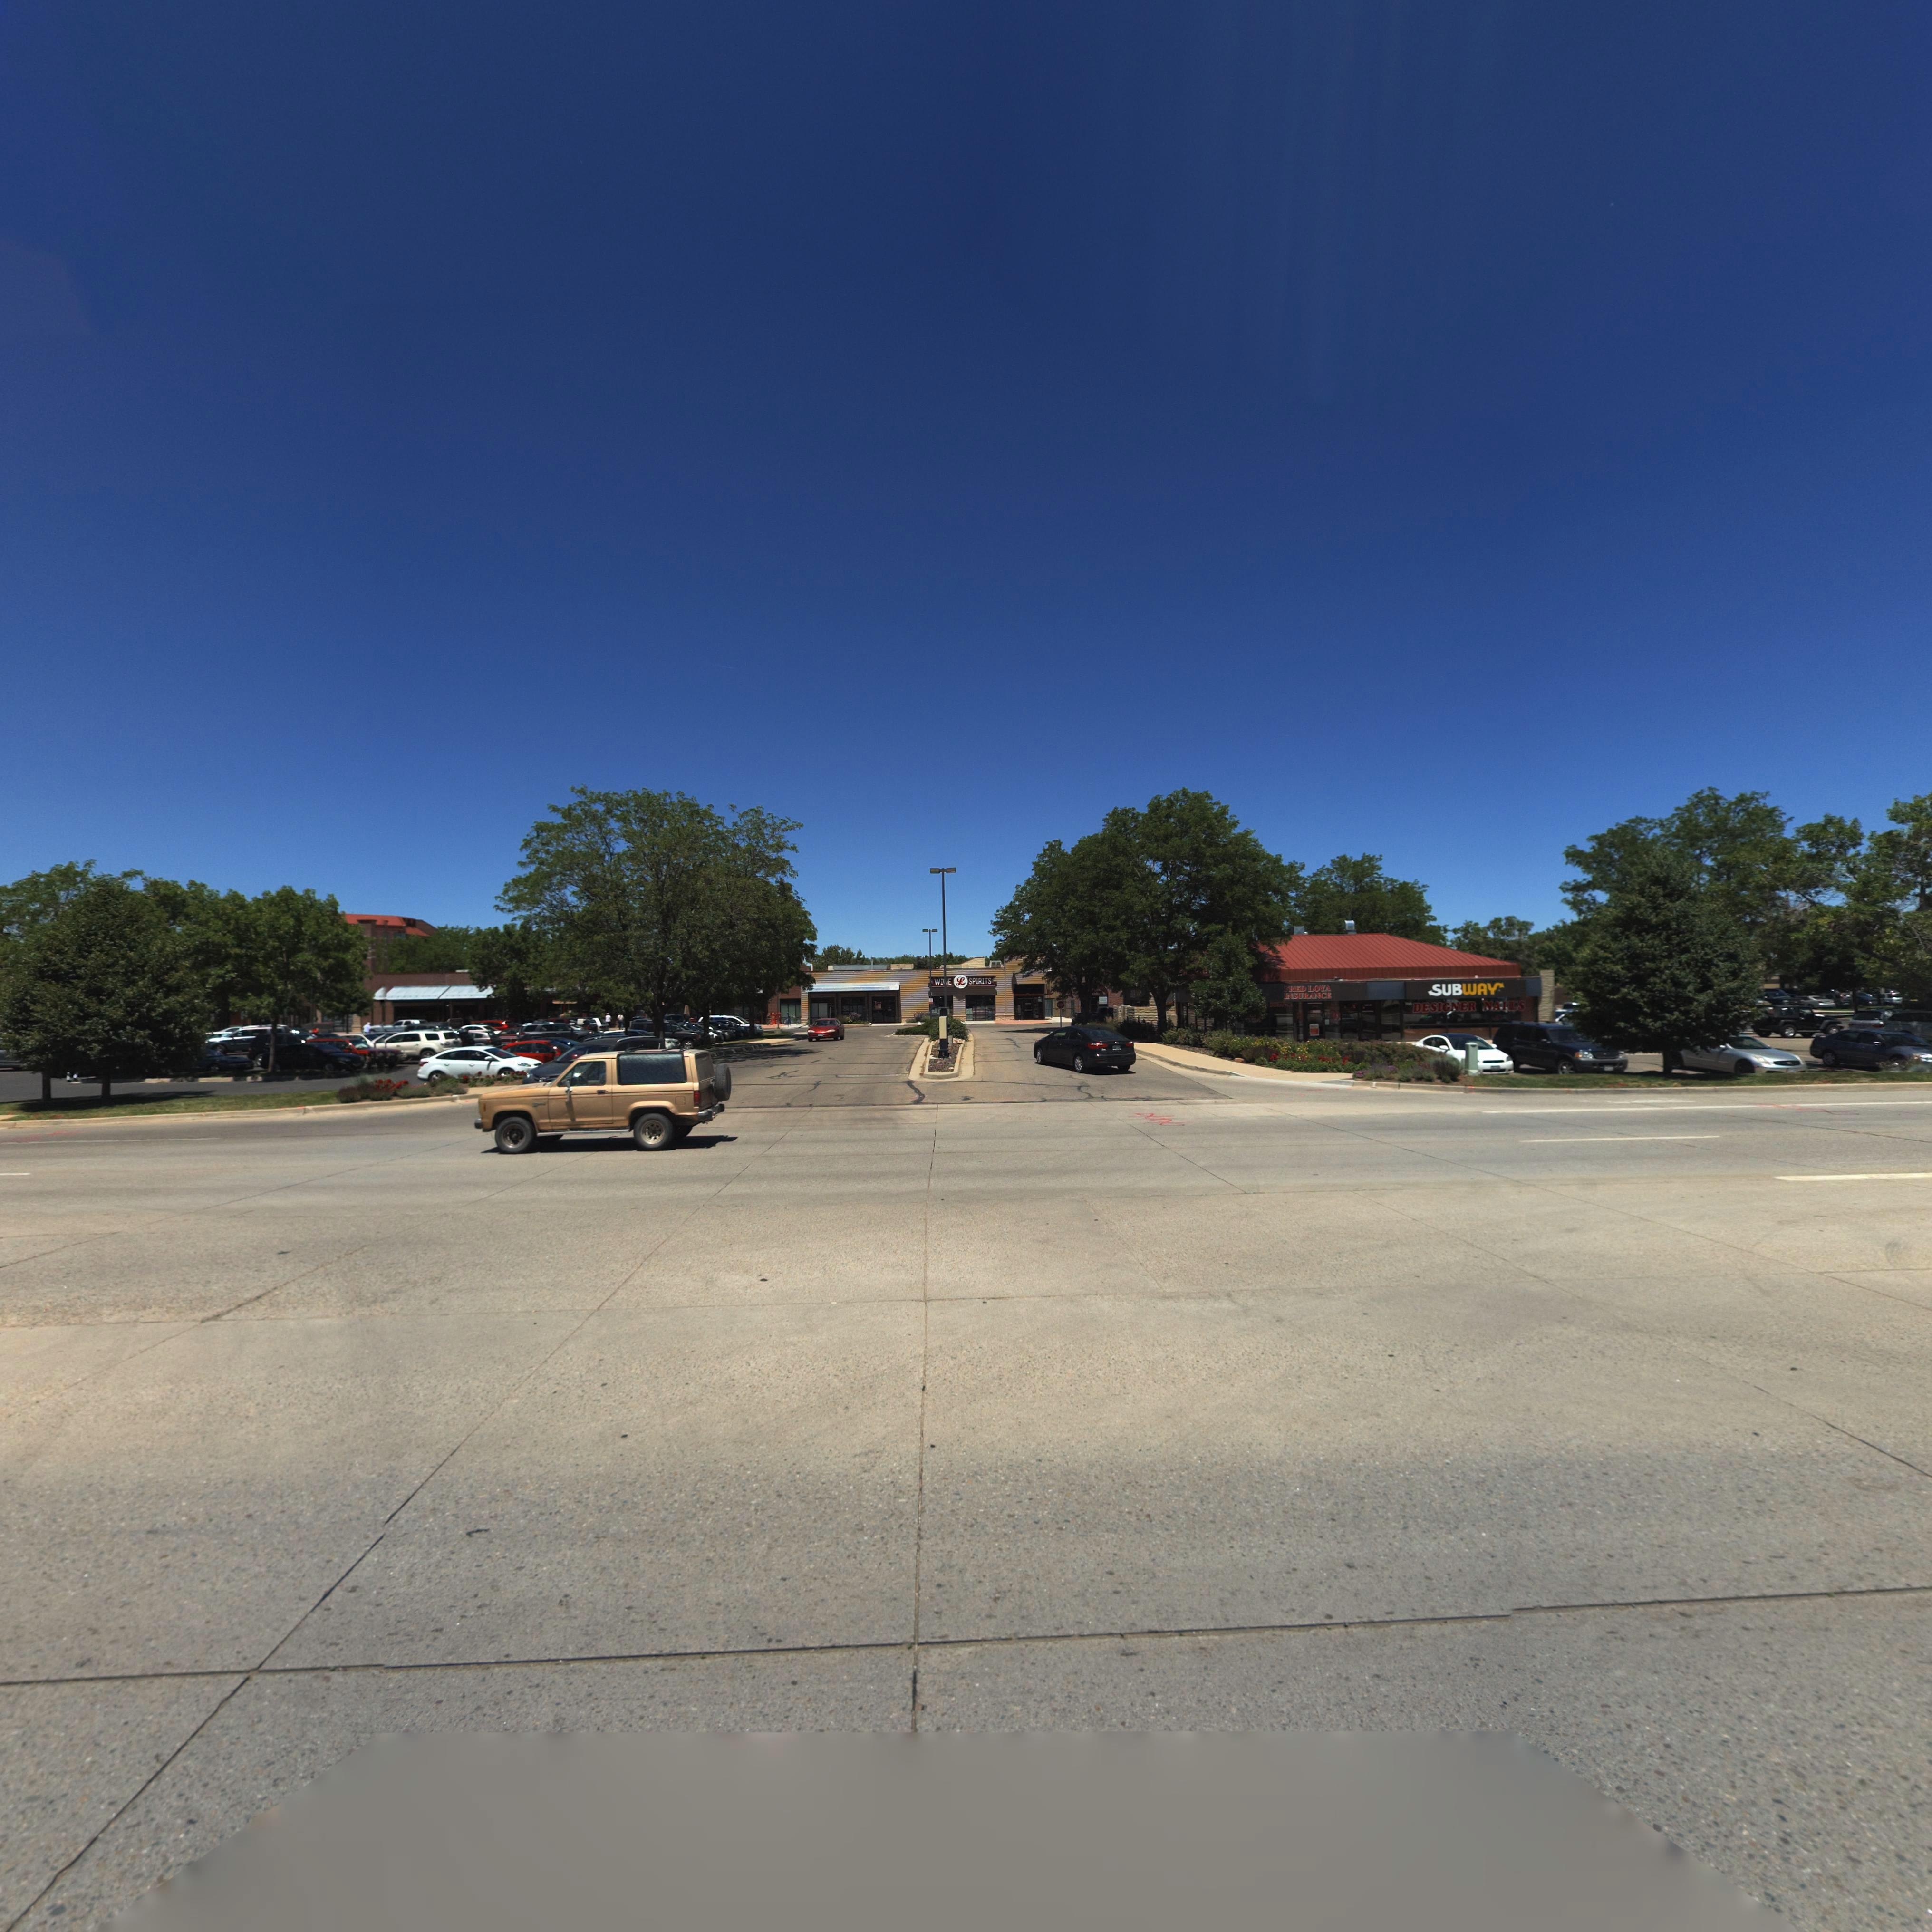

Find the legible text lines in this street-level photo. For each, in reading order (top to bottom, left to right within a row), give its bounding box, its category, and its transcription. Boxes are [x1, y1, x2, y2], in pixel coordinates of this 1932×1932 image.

[955, 976, 966, 985] BusinessName: L
[1283, 984, 1332, 993] BusinessName: FRED LOYA
[1427, 981, 1505, 997] BusinessName: SUBWAY
[1283, 991, 1332, 1000] BusinessName: INSURANCE
[1412, 999, 1526, 1014] BusinessName: DESIGNER NAILS